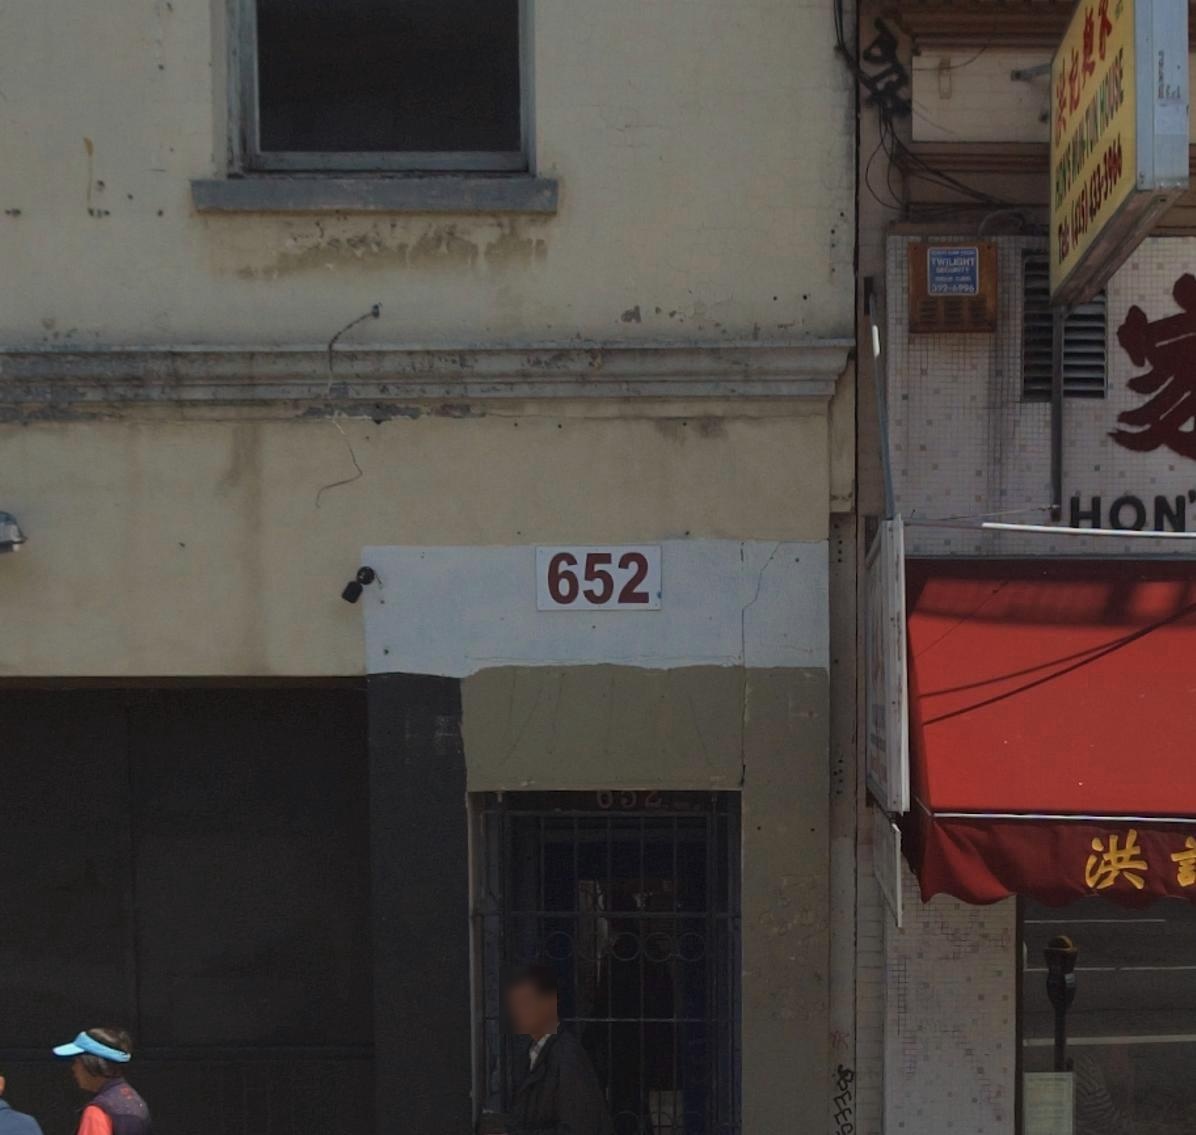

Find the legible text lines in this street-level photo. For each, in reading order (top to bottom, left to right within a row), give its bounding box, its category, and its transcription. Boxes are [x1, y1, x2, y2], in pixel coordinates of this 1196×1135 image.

[1069, 490, 1190, 536] None: HON
[547, 551, 651, 605] StreetNumber: 652